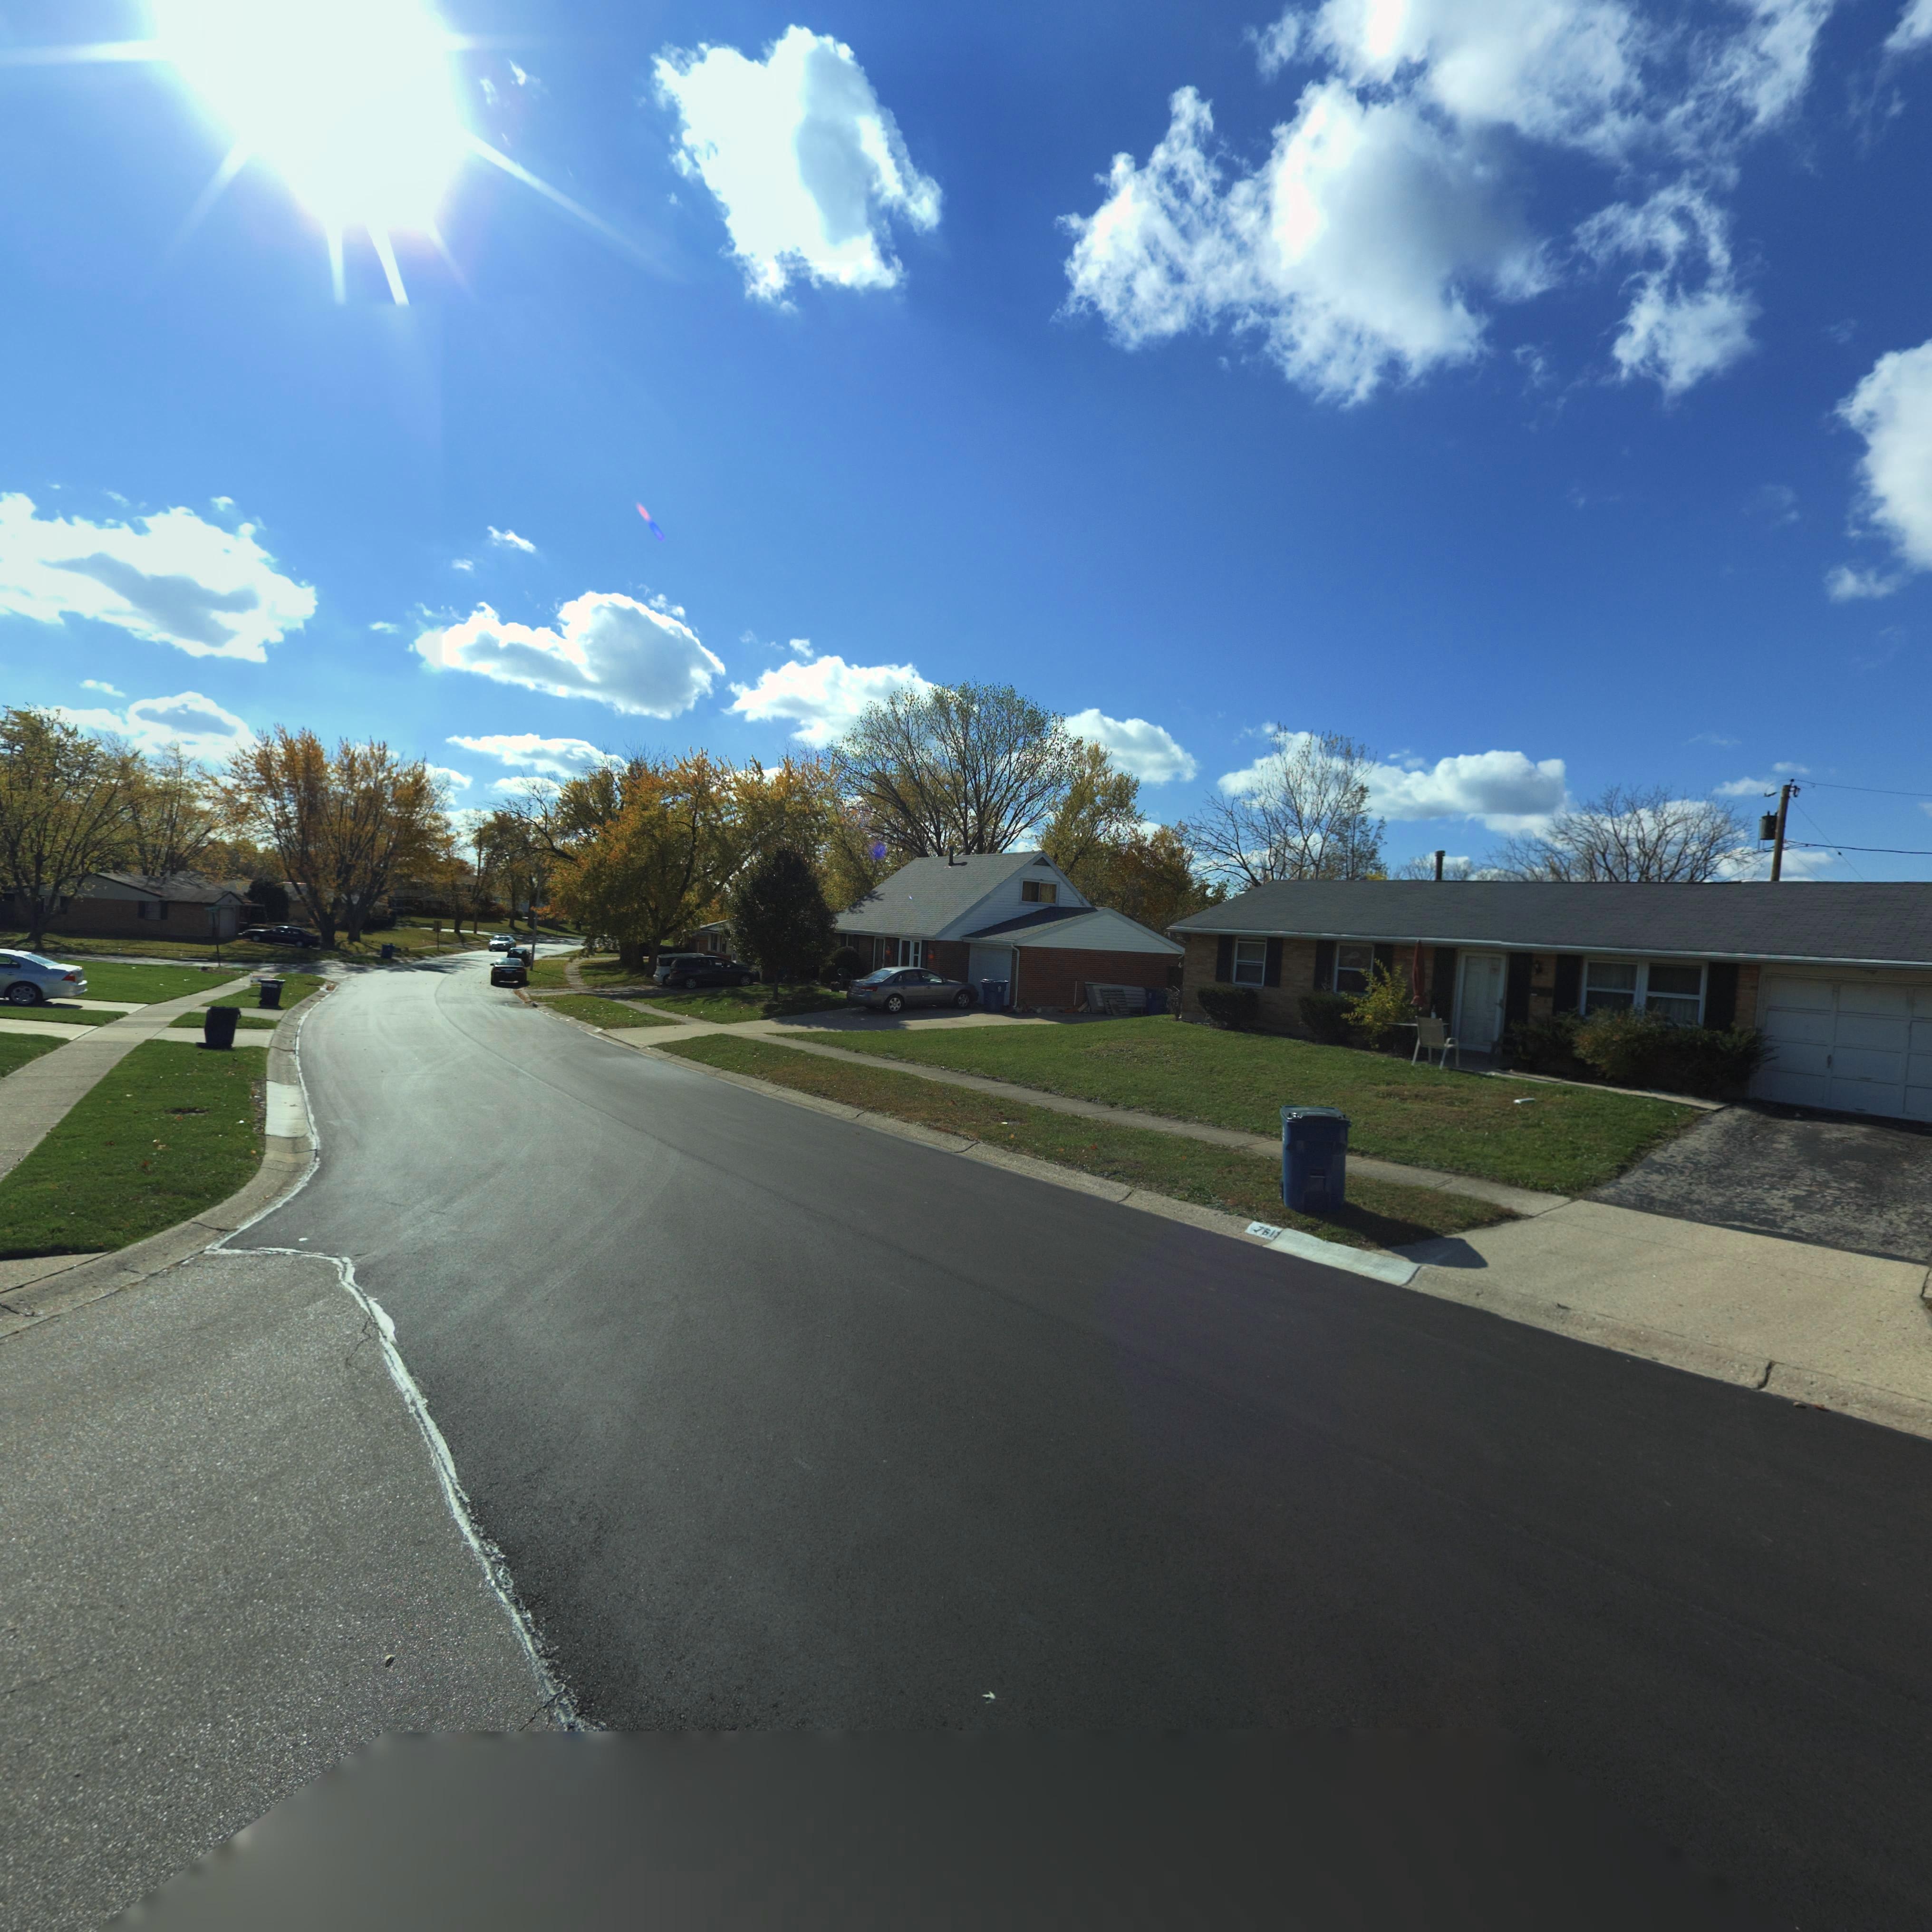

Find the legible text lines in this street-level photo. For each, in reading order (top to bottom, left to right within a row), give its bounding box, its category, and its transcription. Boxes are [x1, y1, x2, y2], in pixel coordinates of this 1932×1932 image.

[1252, 1225, 1277, 1238] StreetNumber: 761